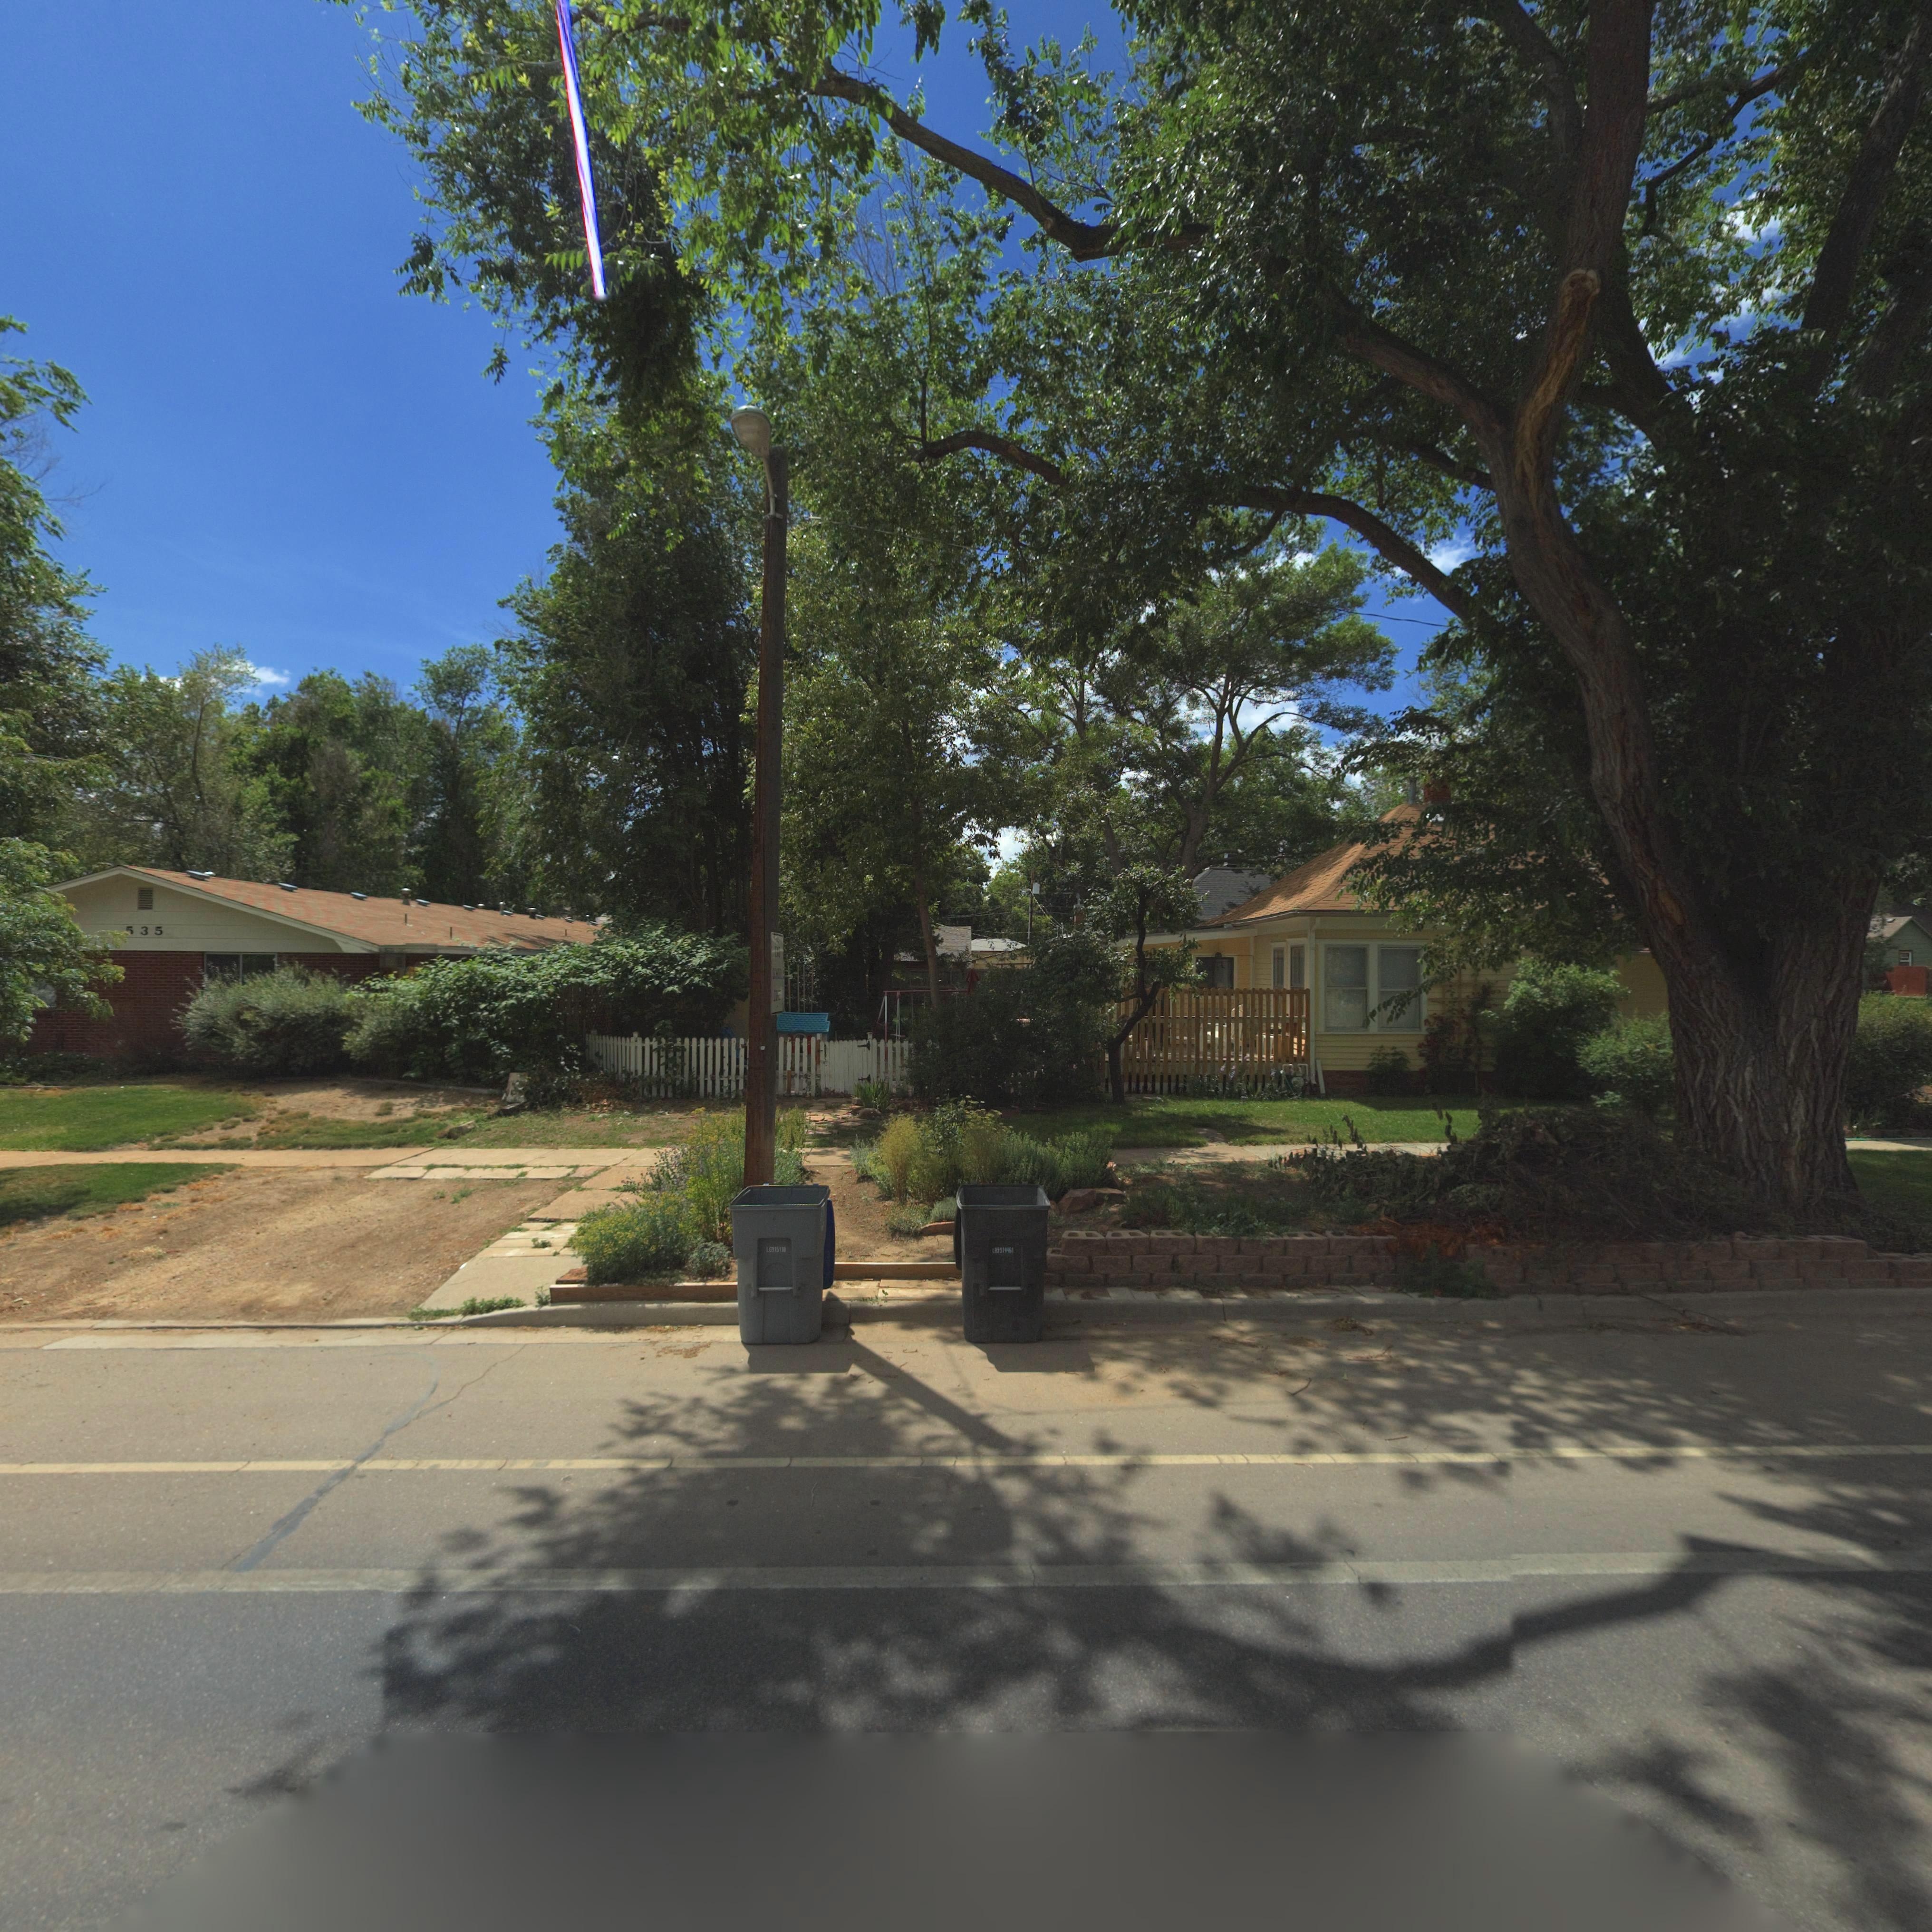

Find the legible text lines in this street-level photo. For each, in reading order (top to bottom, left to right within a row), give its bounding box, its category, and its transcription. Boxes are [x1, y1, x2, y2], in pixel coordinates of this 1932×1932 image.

[126, 925, 163, 935] StreetNumber: *35